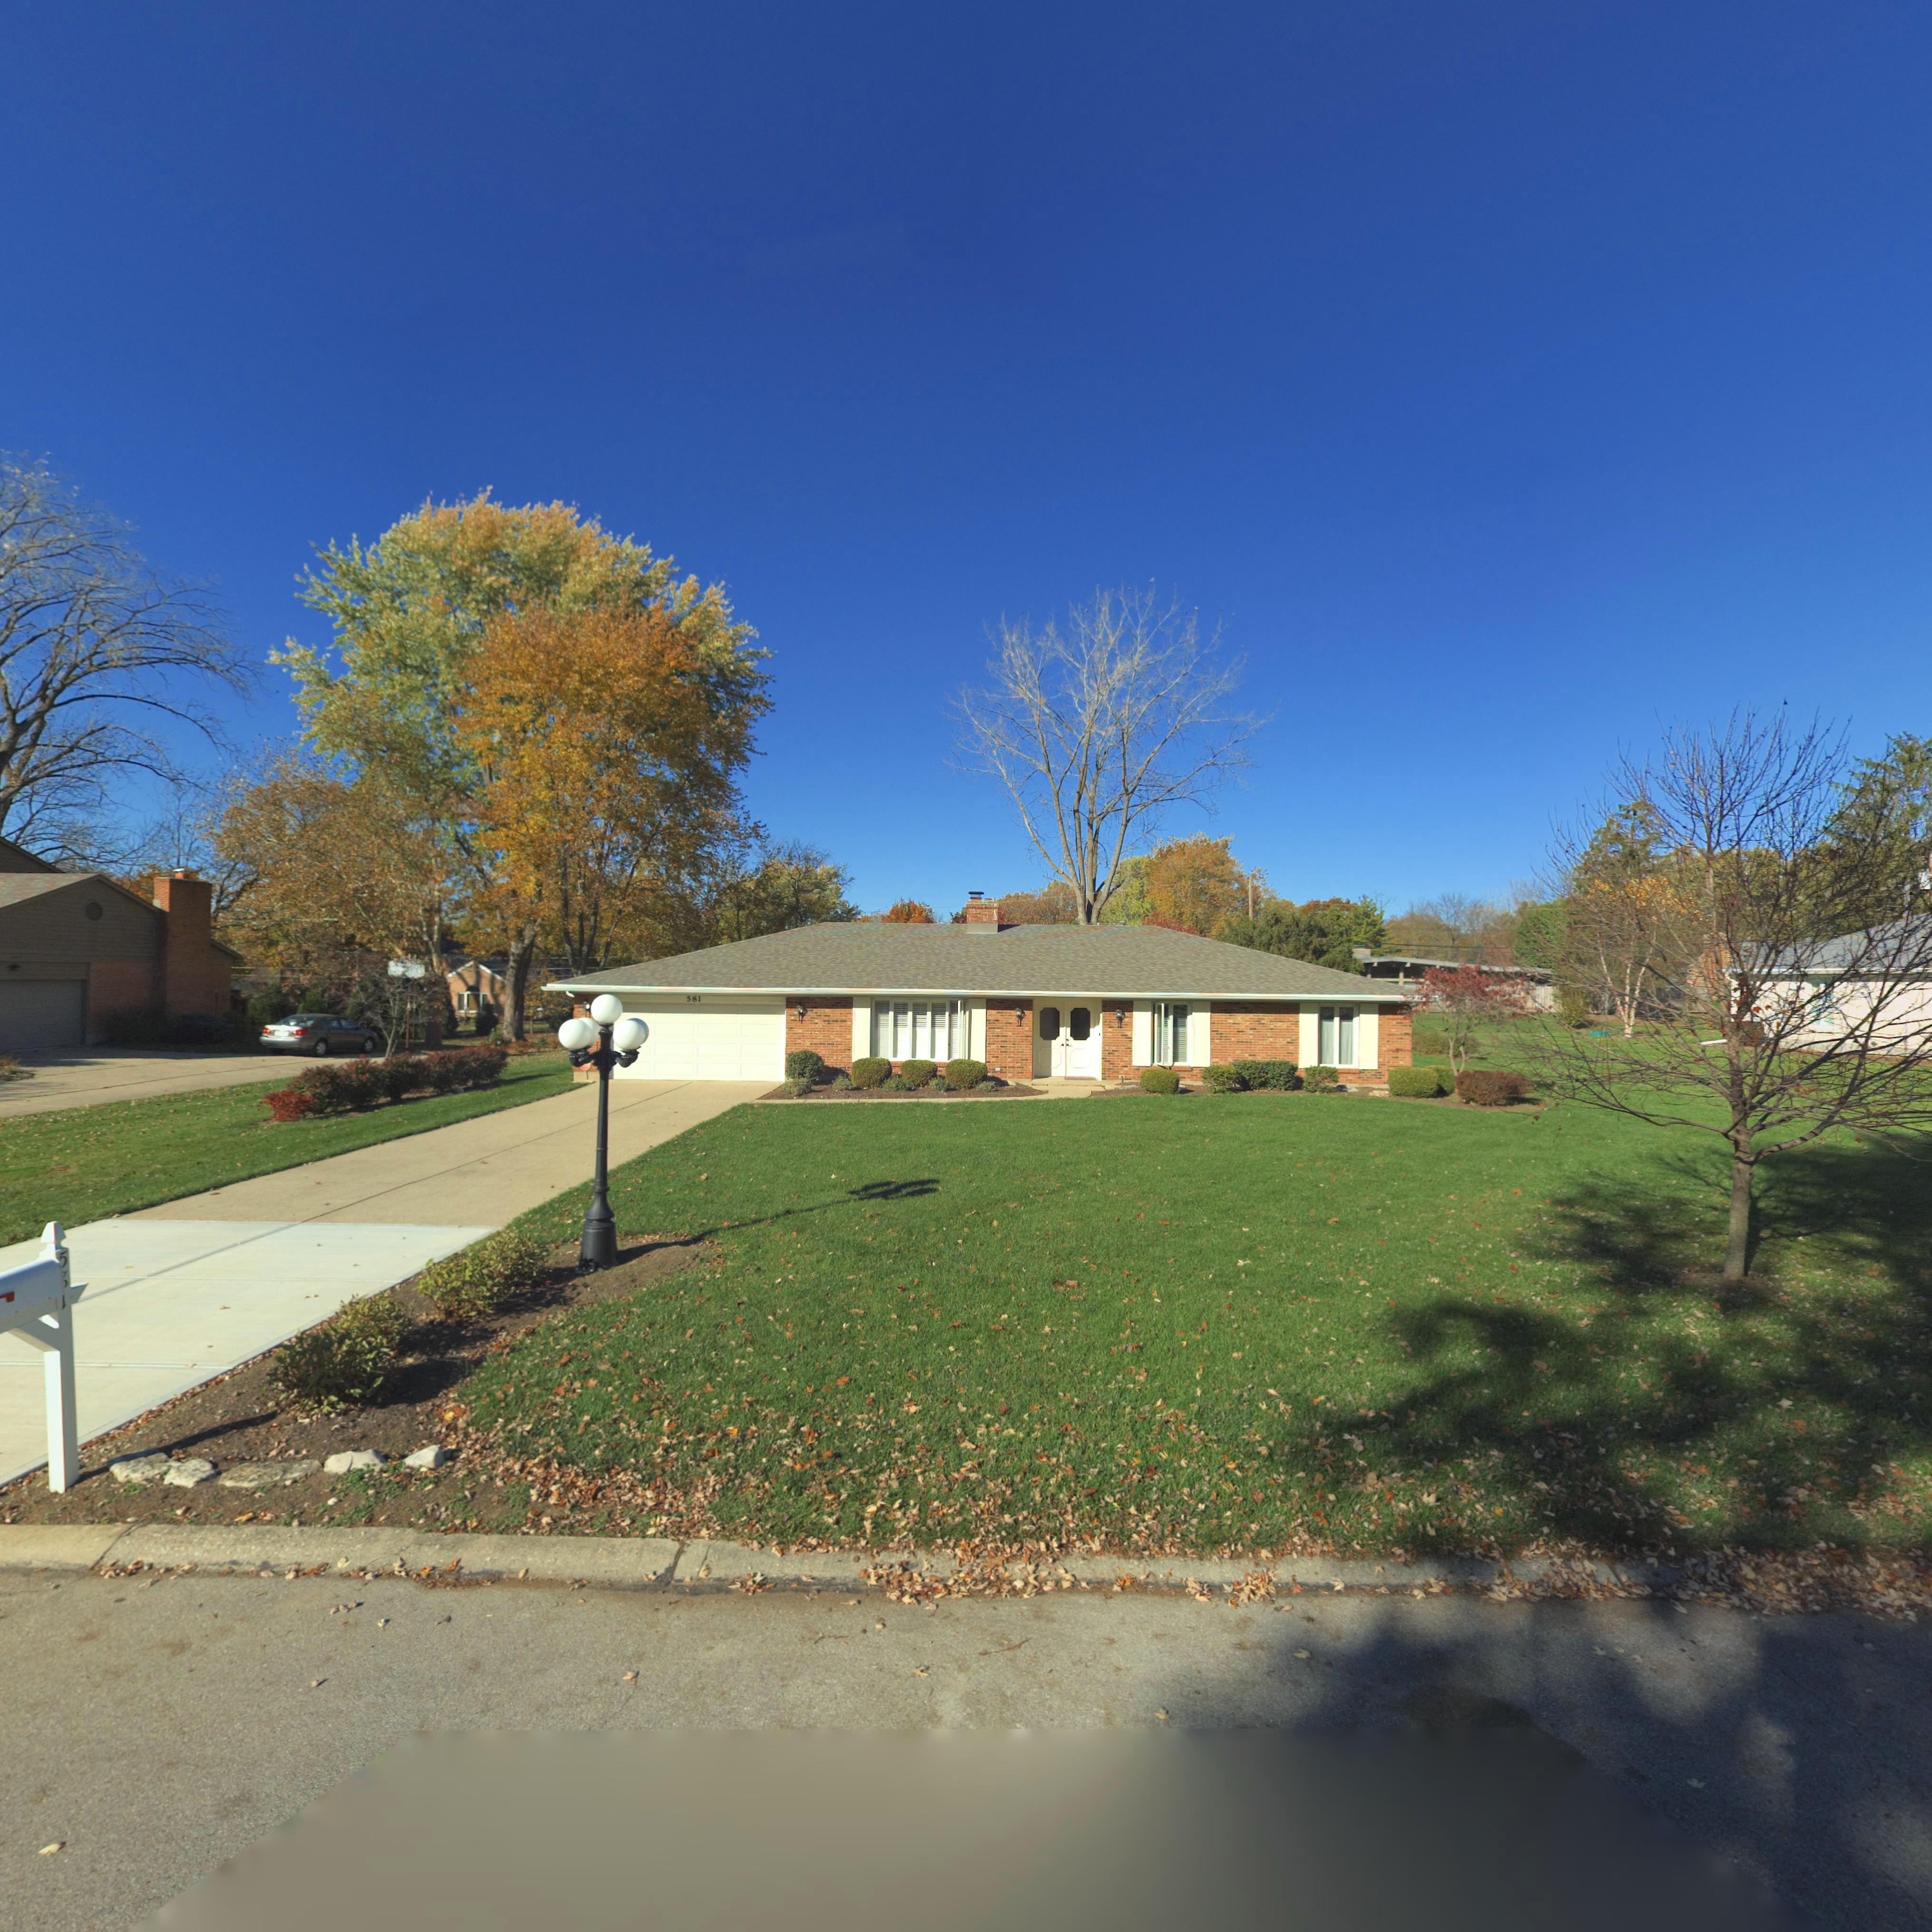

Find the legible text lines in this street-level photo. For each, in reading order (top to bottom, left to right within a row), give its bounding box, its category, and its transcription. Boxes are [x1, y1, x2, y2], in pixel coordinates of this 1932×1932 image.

[686, 995, 702, 1002] StreetNumber: 581
[57, 1249, 69, 1312] StreetNumber: 5*1